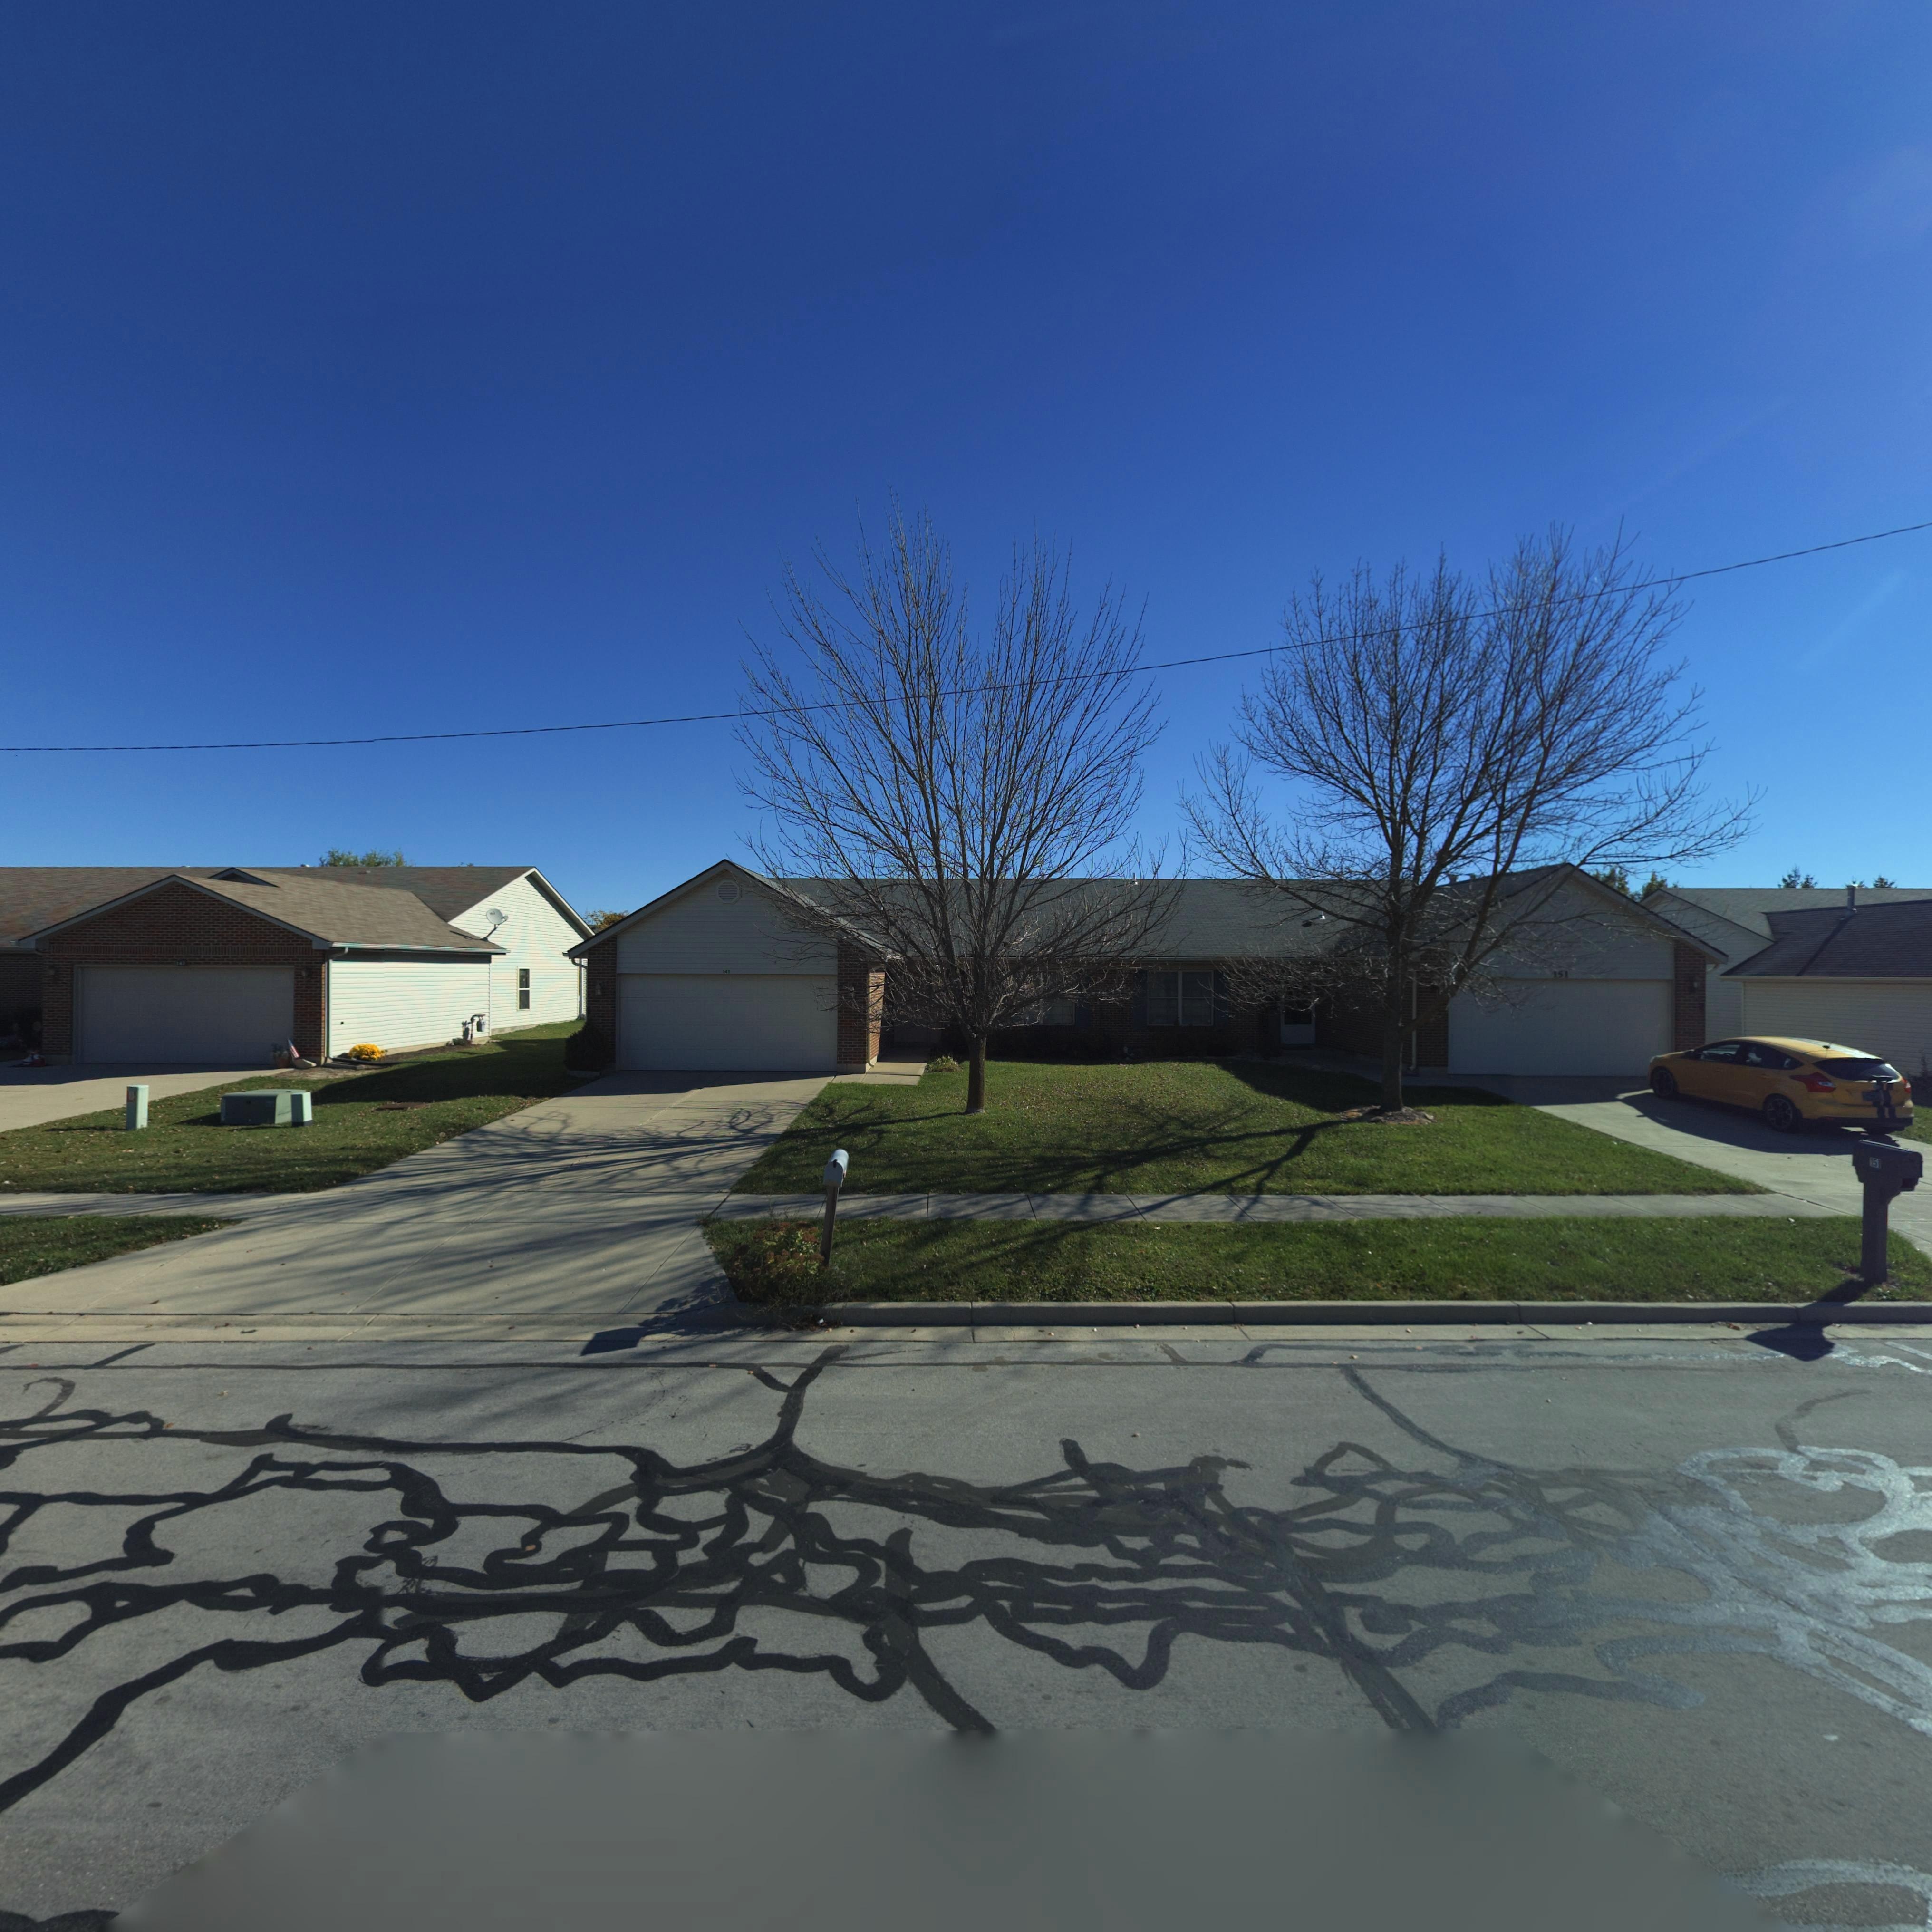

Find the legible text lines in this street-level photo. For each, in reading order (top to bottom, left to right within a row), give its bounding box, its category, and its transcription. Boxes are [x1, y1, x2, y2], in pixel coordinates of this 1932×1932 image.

[176, 961, 185, 966] StreetNumber: 1*7
[723, 969, 731, 974] StreetNumber: 14*
[1552, 970, 1569, 979] StreetNumber: 151
[1870, 1157, 1881, 1169] StreetNumber: 151